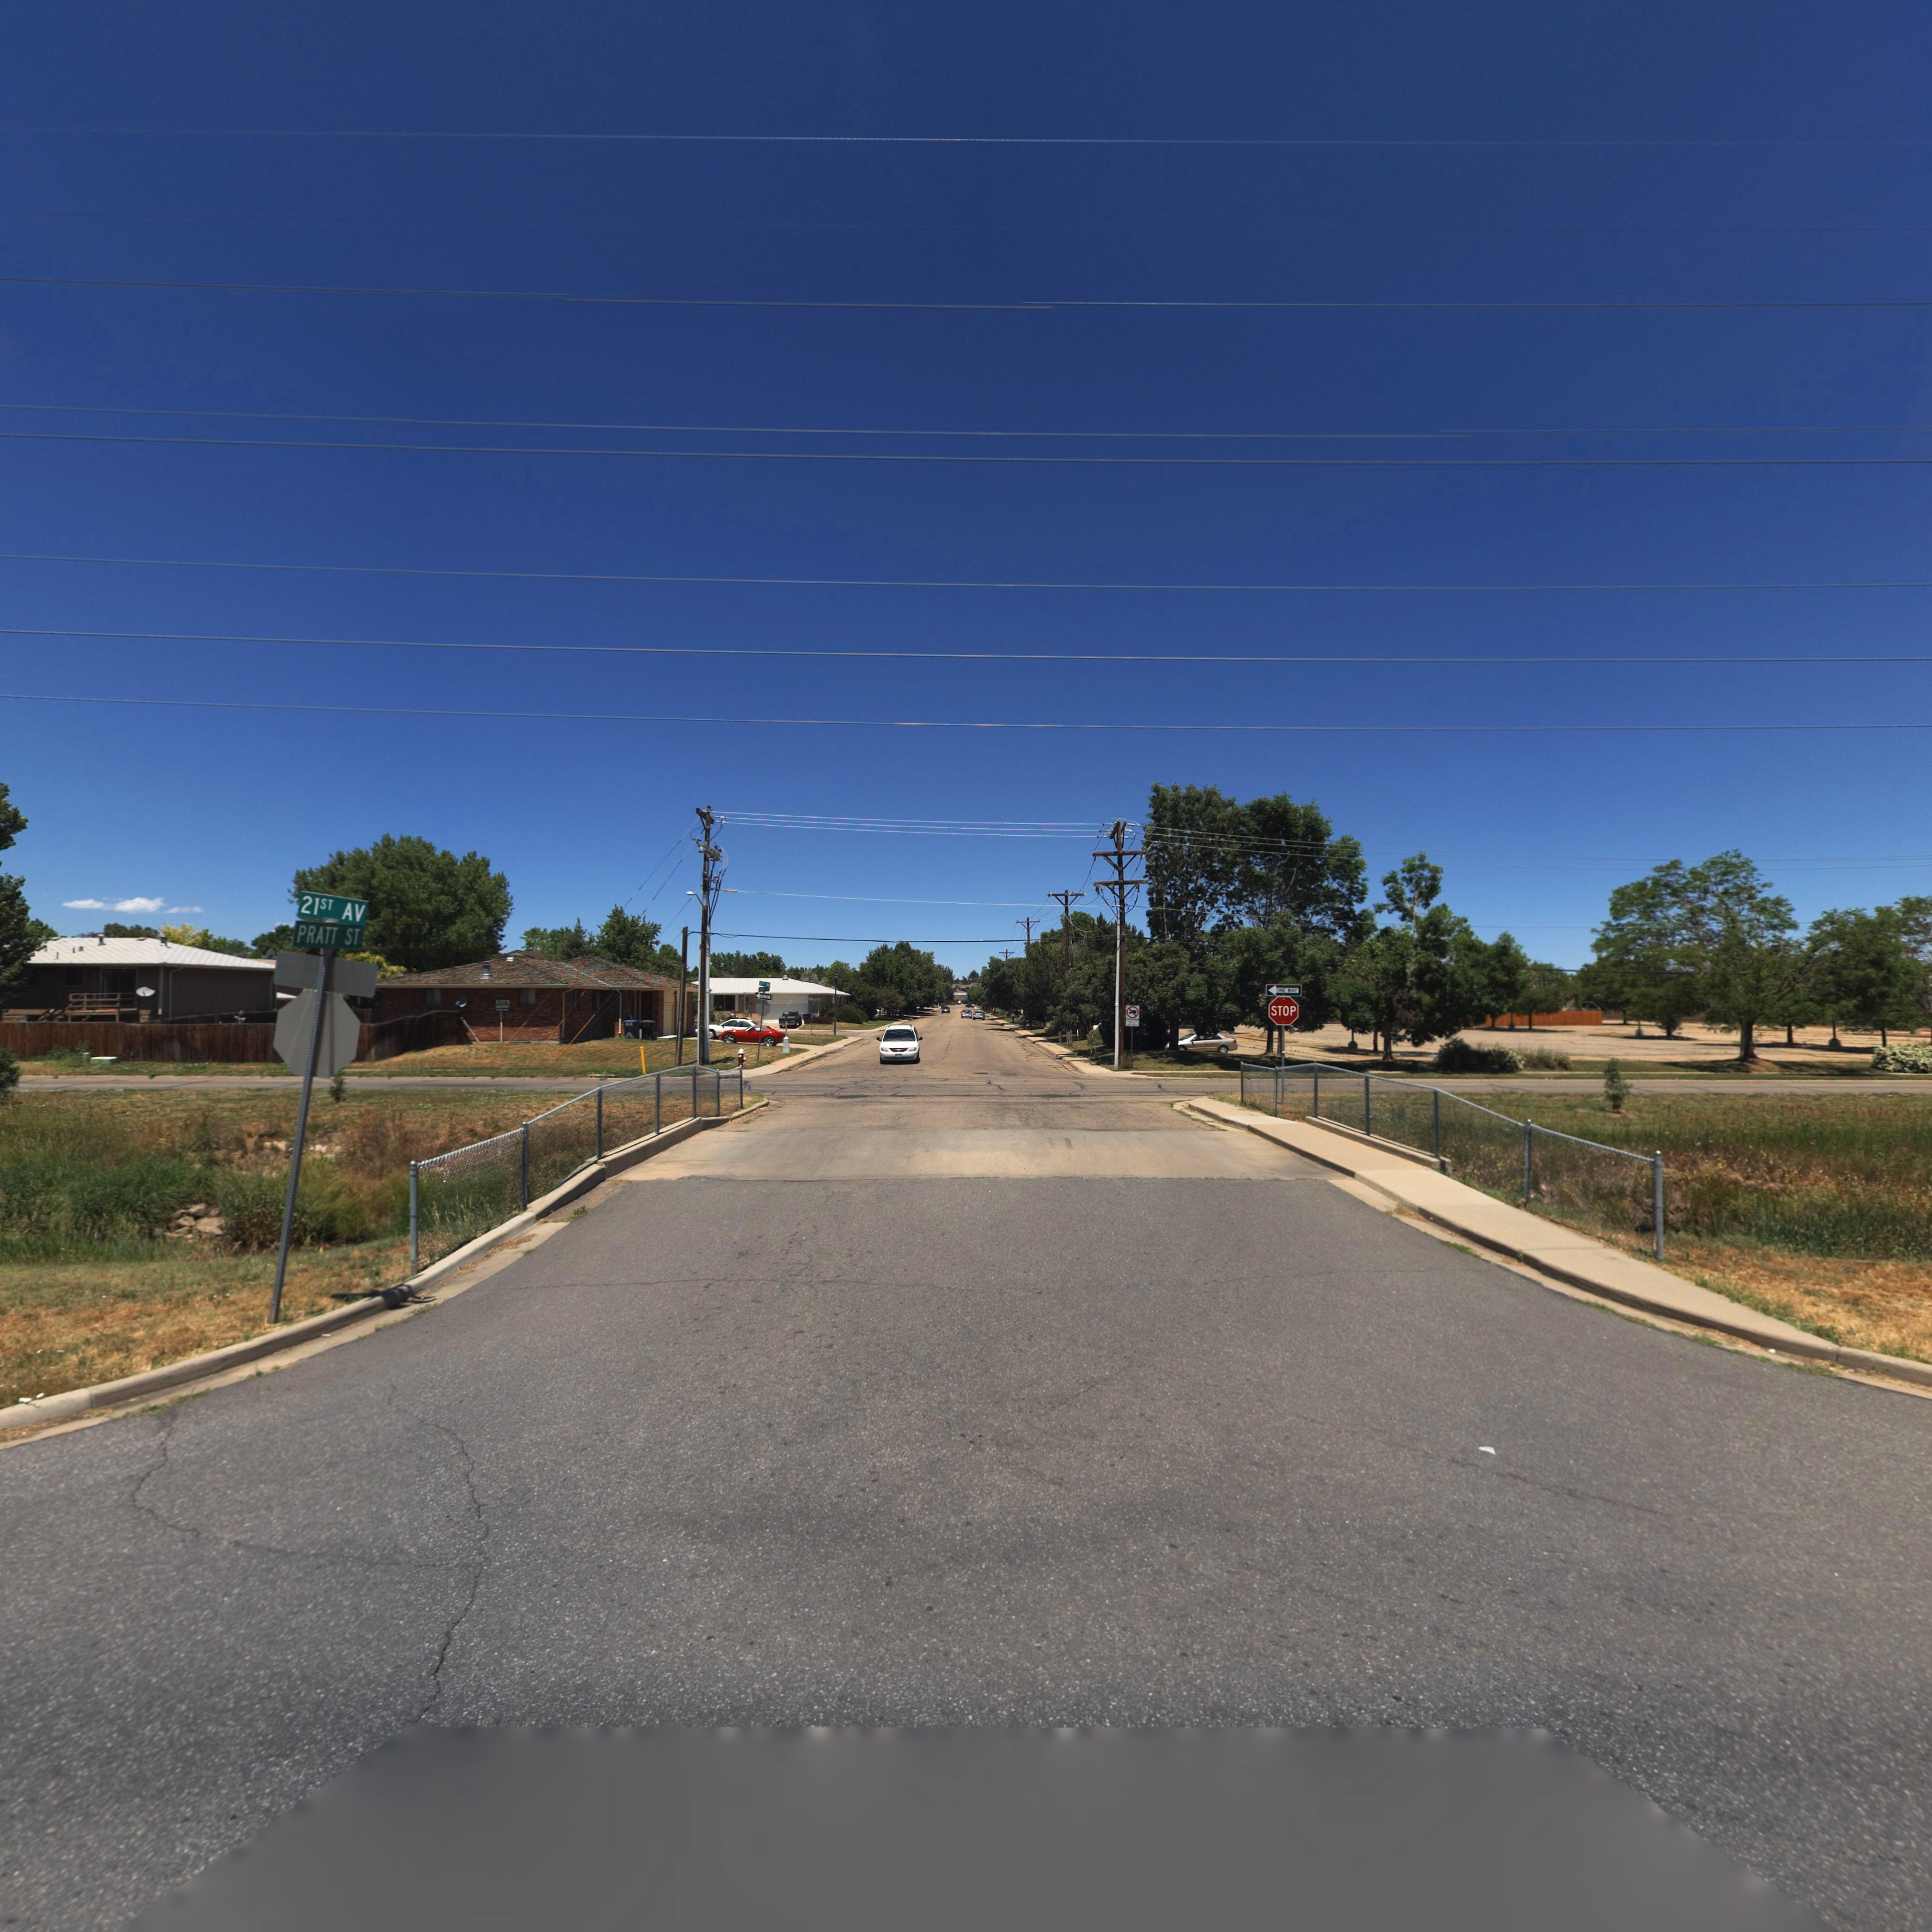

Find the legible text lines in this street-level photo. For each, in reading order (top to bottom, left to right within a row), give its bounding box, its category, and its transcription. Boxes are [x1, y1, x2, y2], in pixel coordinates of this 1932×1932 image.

[299, 893, 368, 924] StreetName: 21ST AV
[293, 923, 363, 947] StreetName: PRATT ST